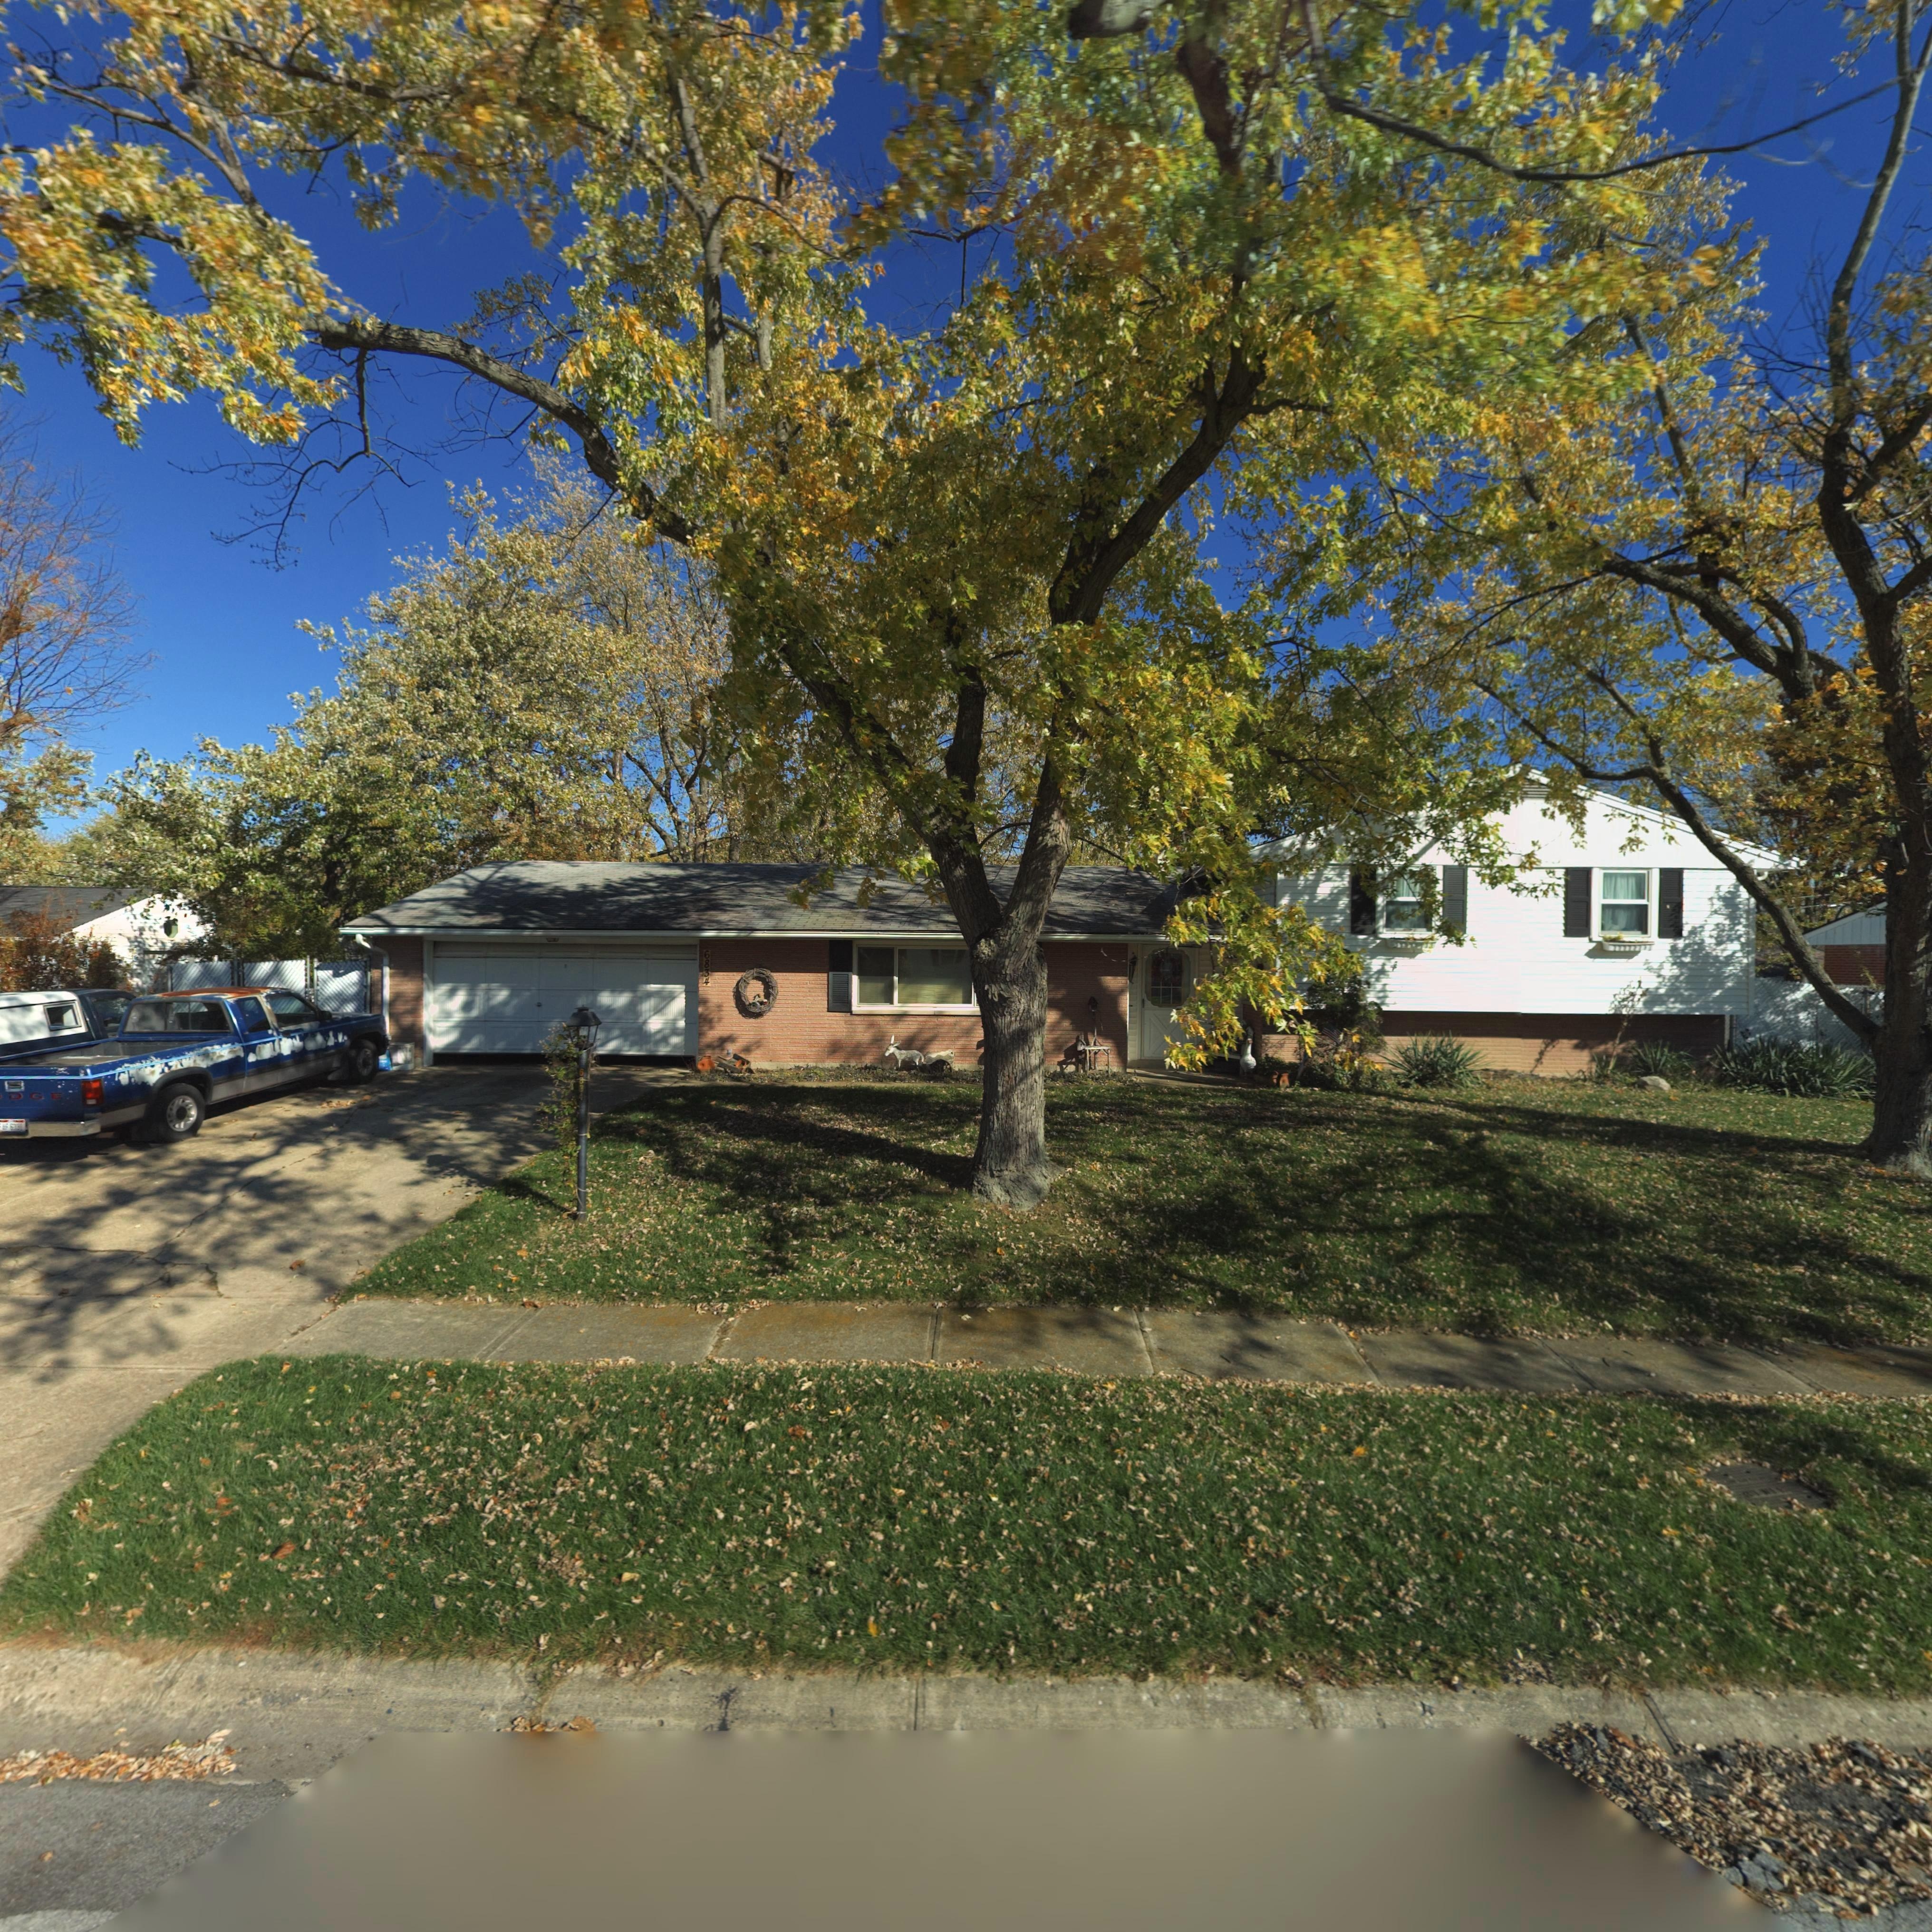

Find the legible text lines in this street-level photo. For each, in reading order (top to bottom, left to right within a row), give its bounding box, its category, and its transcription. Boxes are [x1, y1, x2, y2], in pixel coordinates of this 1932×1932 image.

[703, 949, 710, 985] StreetNumber: 6834
[8, 1092, 64, 1100] None: DGE
[9, 1122, 14, 1131] None: 6